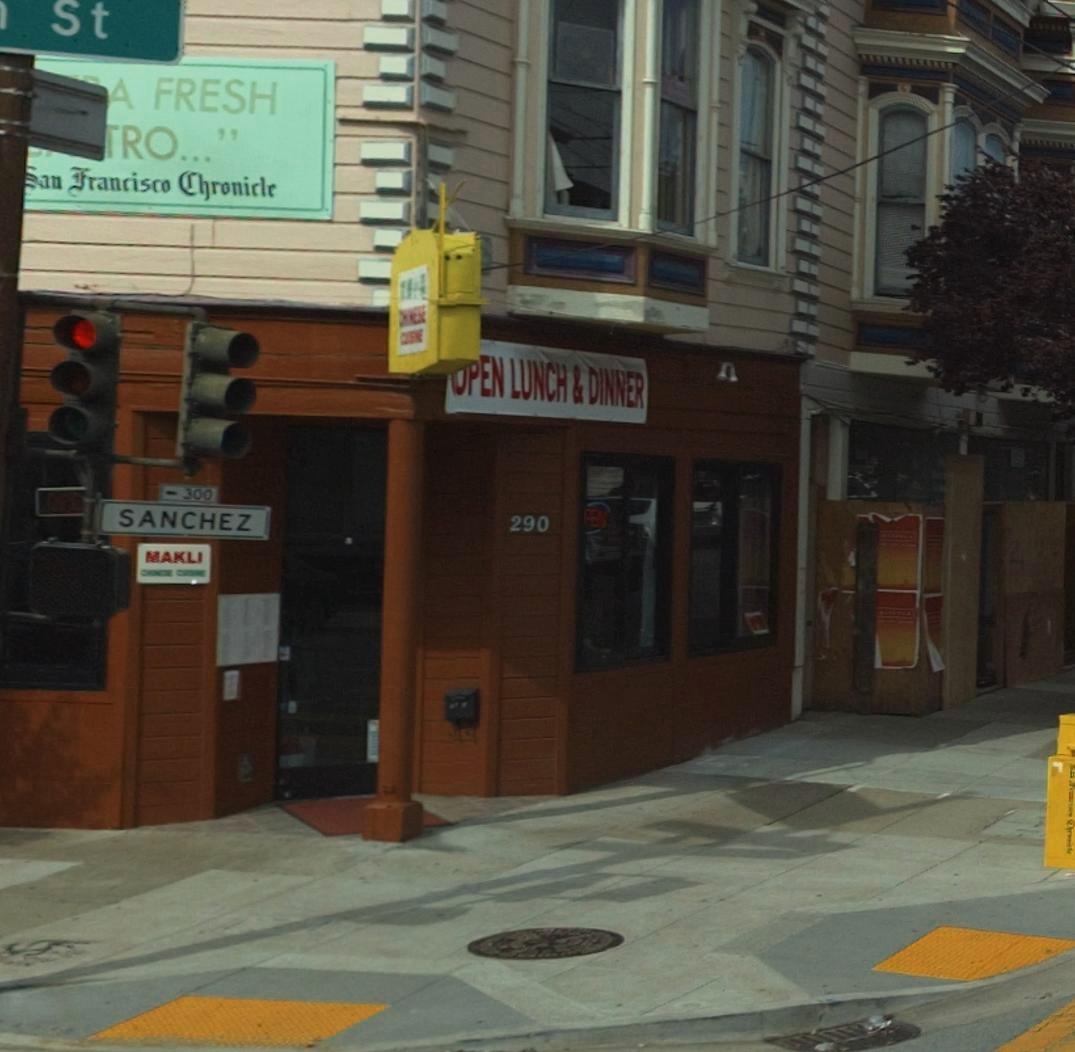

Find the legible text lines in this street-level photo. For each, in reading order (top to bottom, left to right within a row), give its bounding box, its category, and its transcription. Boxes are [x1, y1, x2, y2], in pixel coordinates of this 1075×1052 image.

[47, 0, 111, 41] None: St
[108, 75, 279, 117] None: A FRESH
[121, 122, 241, 164] None: RO..."
[38, 163, 277, 201] None: an Francisco Chronicle
[479, 352, 645, 410] None: EN LUNCH & DINNER
[164, 487, 214, 501] StreetNumberRange: <- 300
[117, 506, 253, 532] StreetName: SANCHEZ
[509, 513, 550, 533] StreetNumber: 290
[584, 508, 608, 527] None: PEN
[145, 550, 205, 565] BusinessName: MAKLI